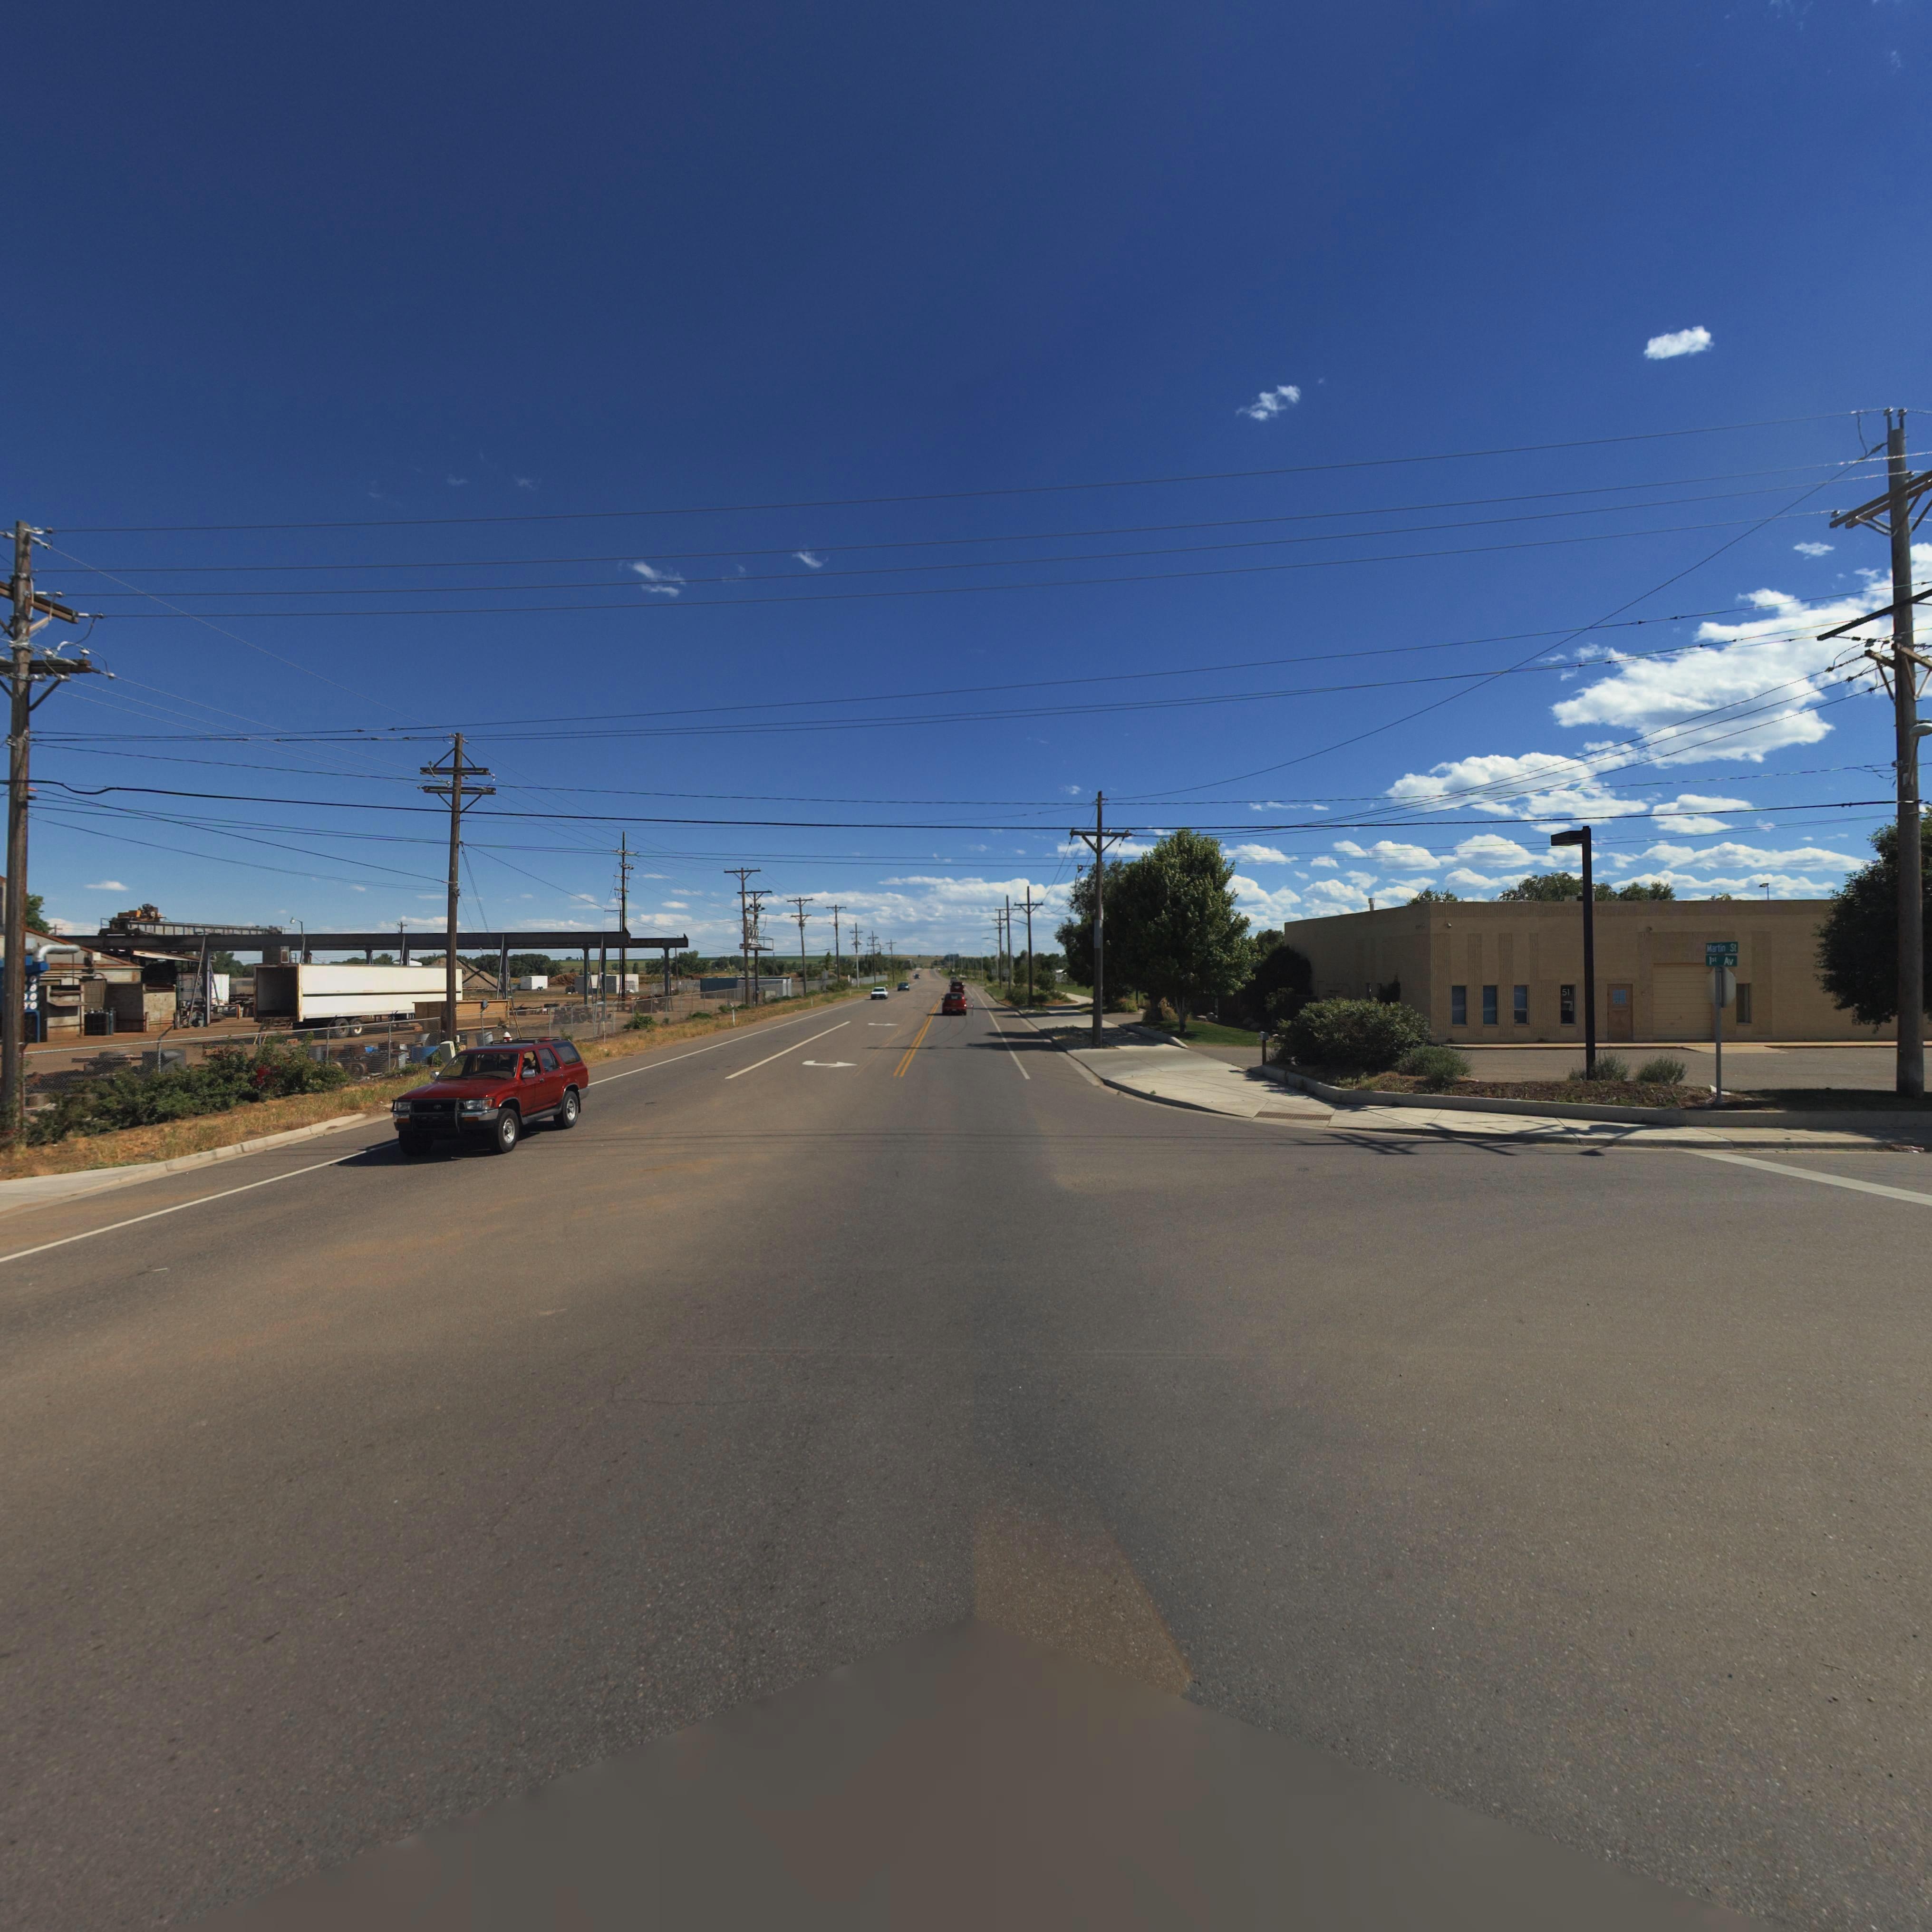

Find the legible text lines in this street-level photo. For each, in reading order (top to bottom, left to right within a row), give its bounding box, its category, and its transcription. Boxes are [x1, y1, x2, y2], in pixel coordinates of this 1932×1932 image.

[1707, 943, 1737, 953] StreetName: Martin St
[1709, 956, 1734, 965] StreetName: 1st Av